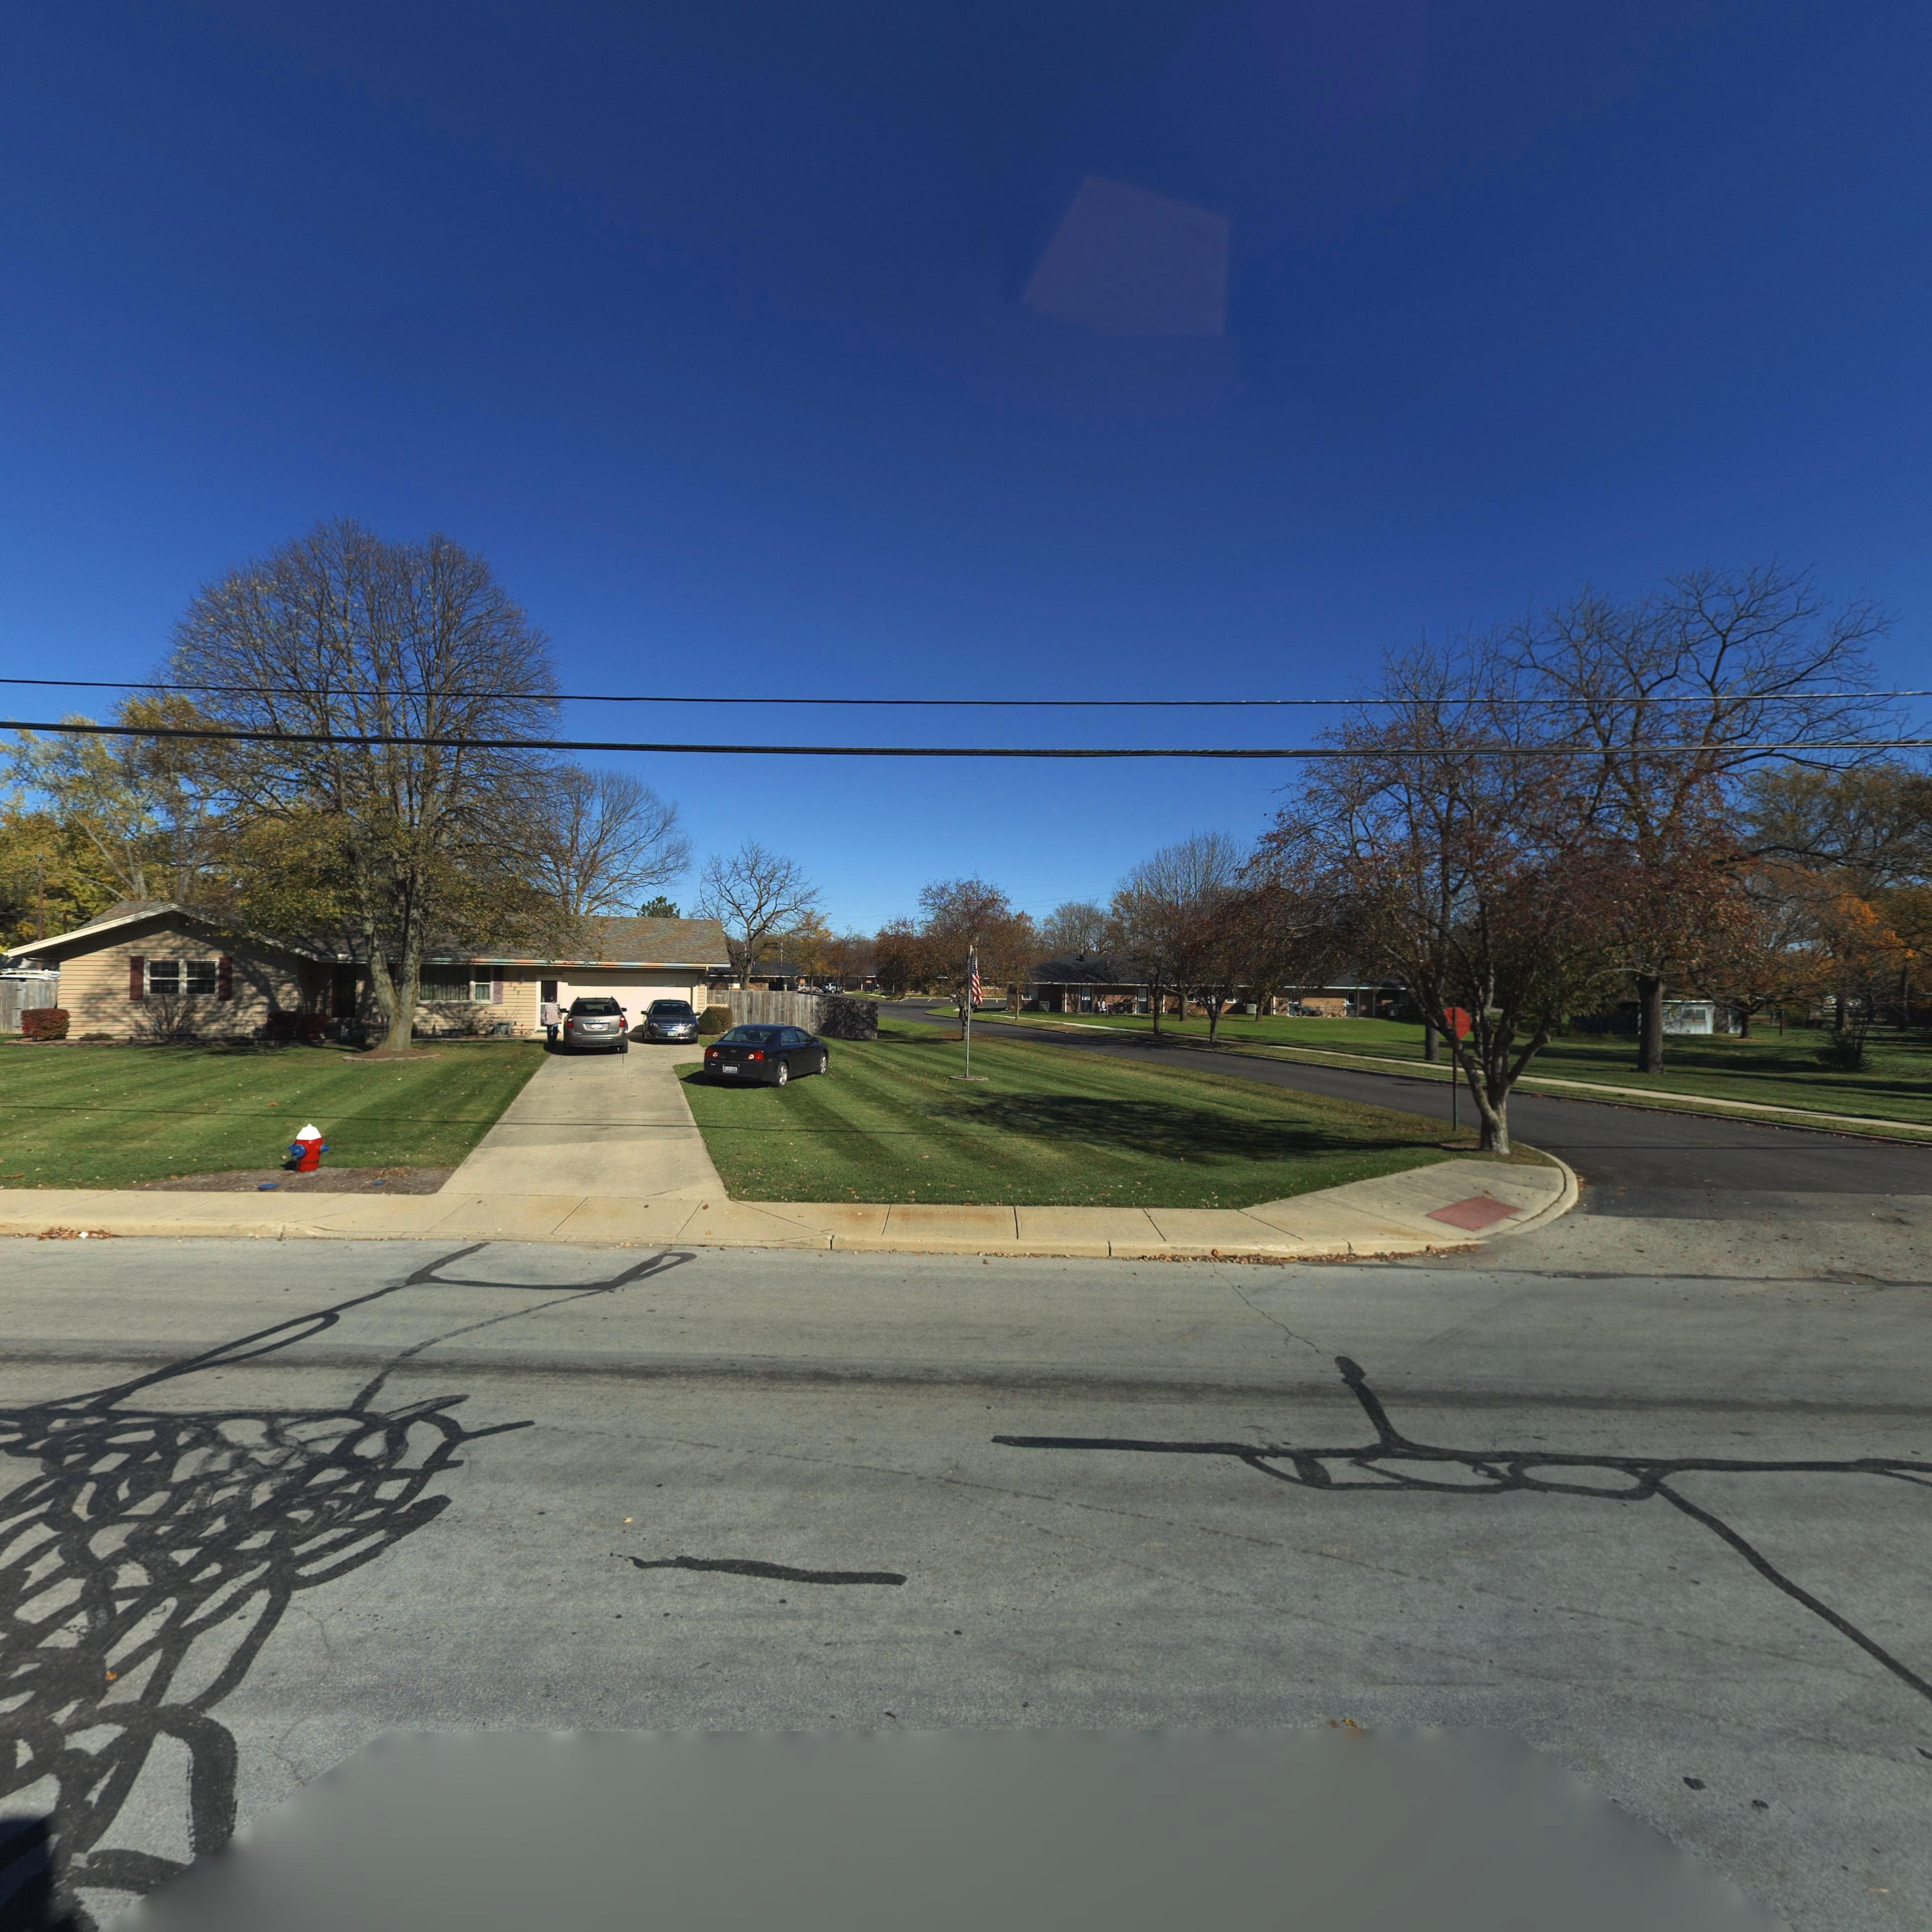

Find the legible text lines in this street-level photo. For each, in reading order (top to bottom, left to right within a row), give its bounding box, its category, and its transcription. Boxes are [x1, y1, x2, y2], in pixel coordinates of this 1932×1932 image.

[509, 982, 520, 995] StreetNumber: **8